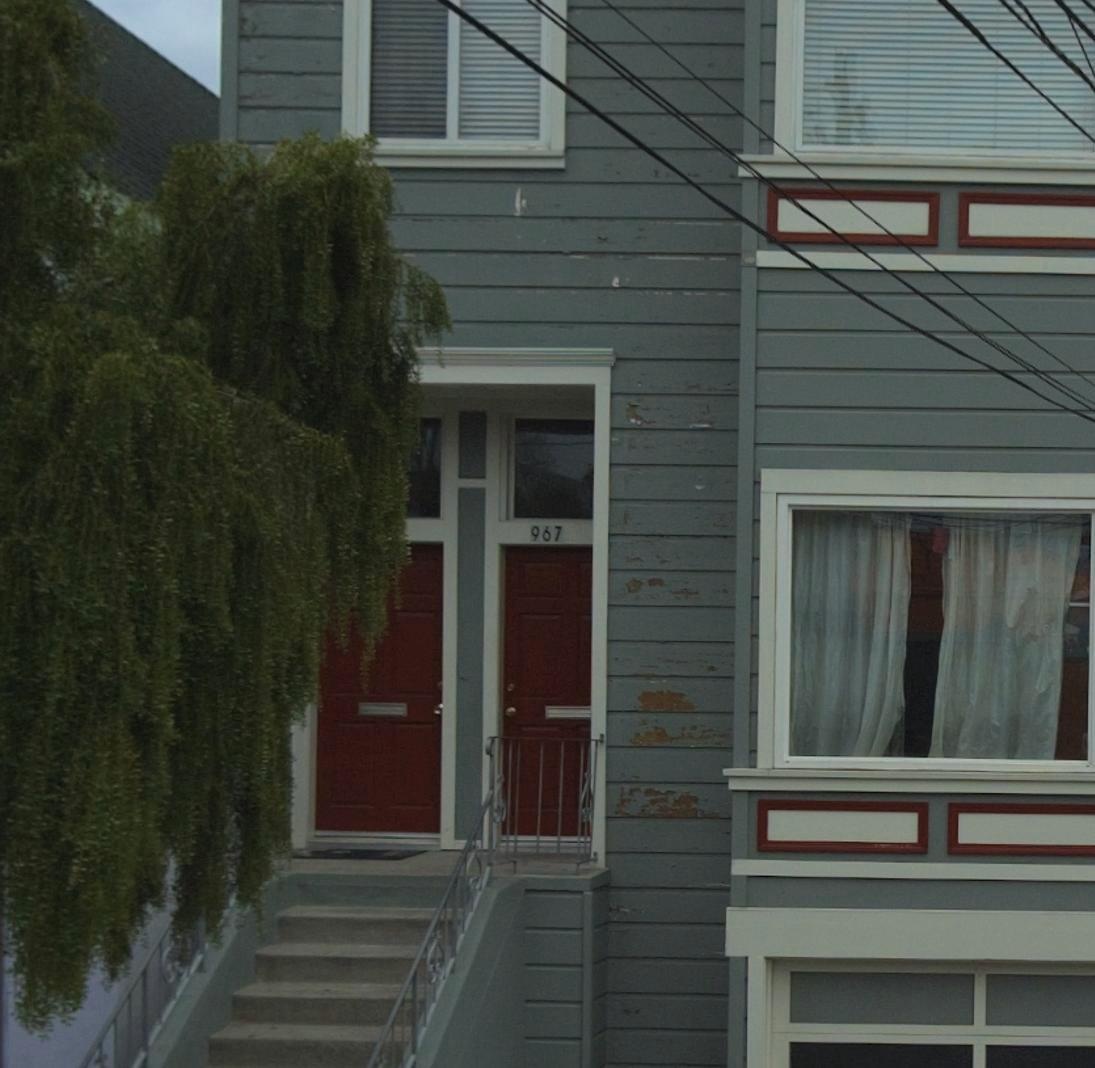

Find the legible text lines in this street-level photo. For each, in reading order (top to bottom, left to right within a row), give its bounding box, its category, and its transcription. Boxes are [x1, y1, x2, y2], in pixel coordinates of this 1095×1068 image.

[529, 525, 564, 543] StreetNumber: 967